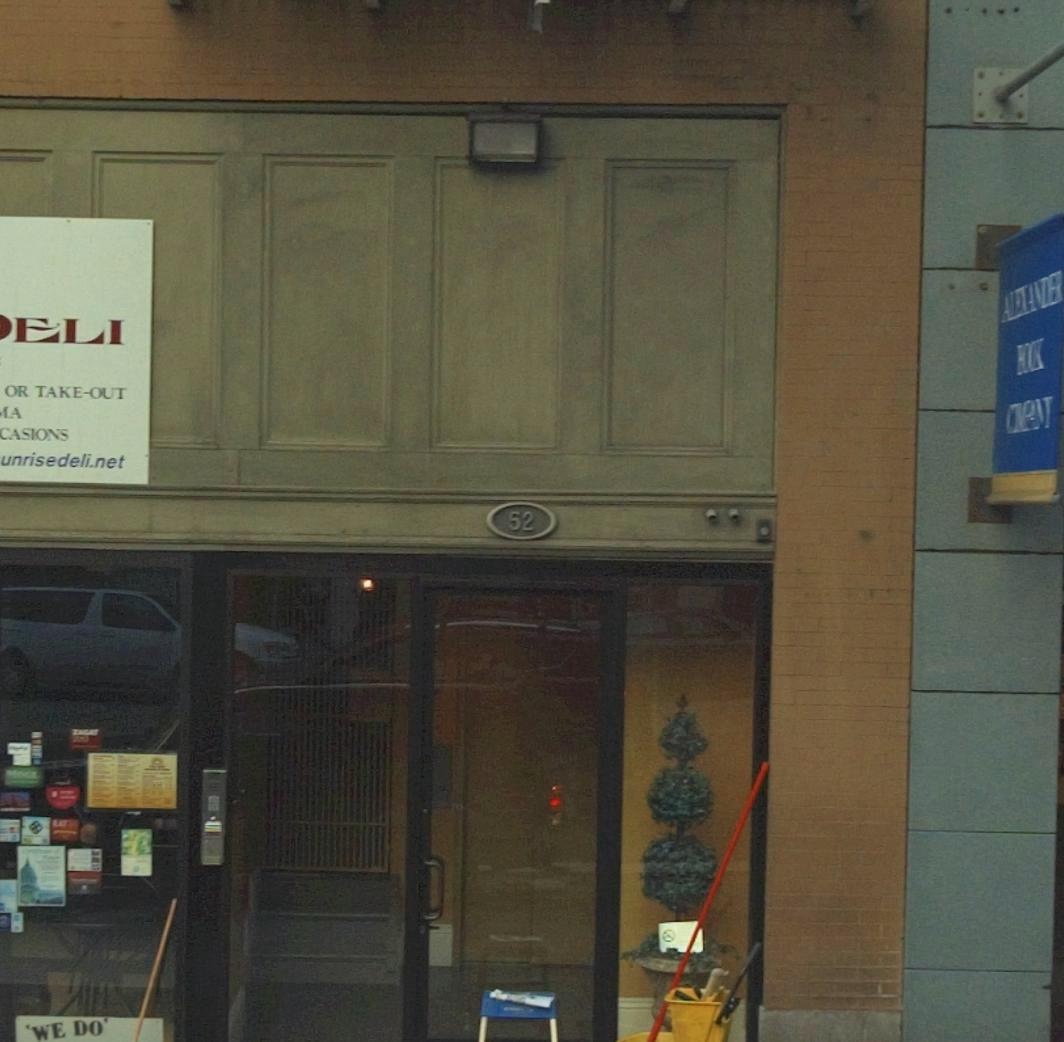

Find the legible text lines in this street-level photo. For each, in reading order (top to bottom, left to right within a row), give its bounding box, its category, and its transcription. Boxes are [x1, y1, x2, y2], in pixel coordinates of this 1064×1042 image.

[1000, 268, 1064, 329] None: ALEXANDER
[13, 317, 127, 346] BusinessName: ELI
[4, 383, 128, 400] None: OR TAKE-OUT
[8, 405, 23, 419] None: A
[0, 426, 70, 441] None: CASIONS
[0, 451, 127, 470] None: unrisedeli.net
[507, 509, 538, 533] StreetNumber: 52
[29, 1019, 104, 1042] None: WE DO